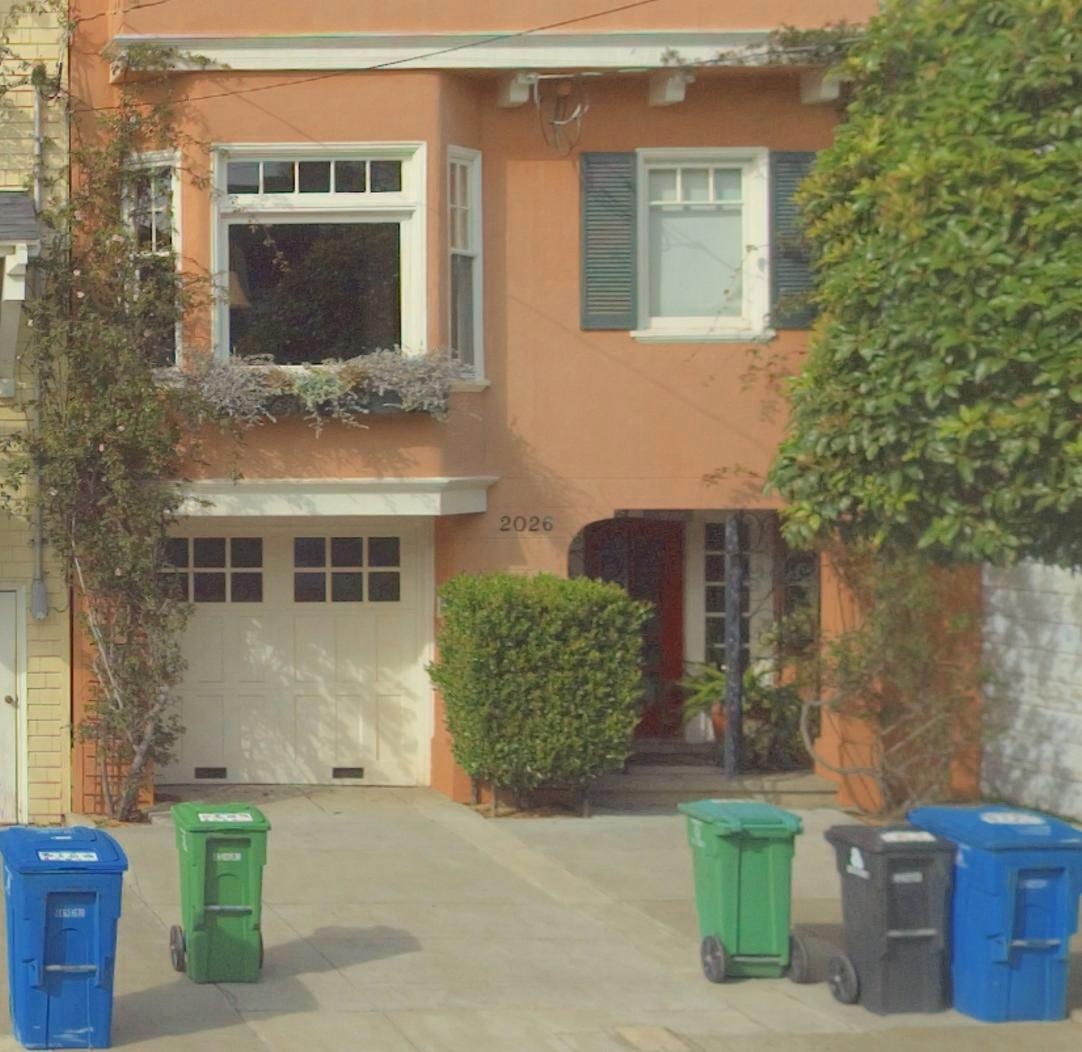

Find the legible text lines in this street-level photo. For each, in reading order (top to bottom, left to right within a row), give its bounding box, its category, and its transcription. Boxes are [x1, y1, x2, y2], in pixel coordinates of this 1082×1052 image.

[499, 514, 554, 533] StreetNumber: 2026